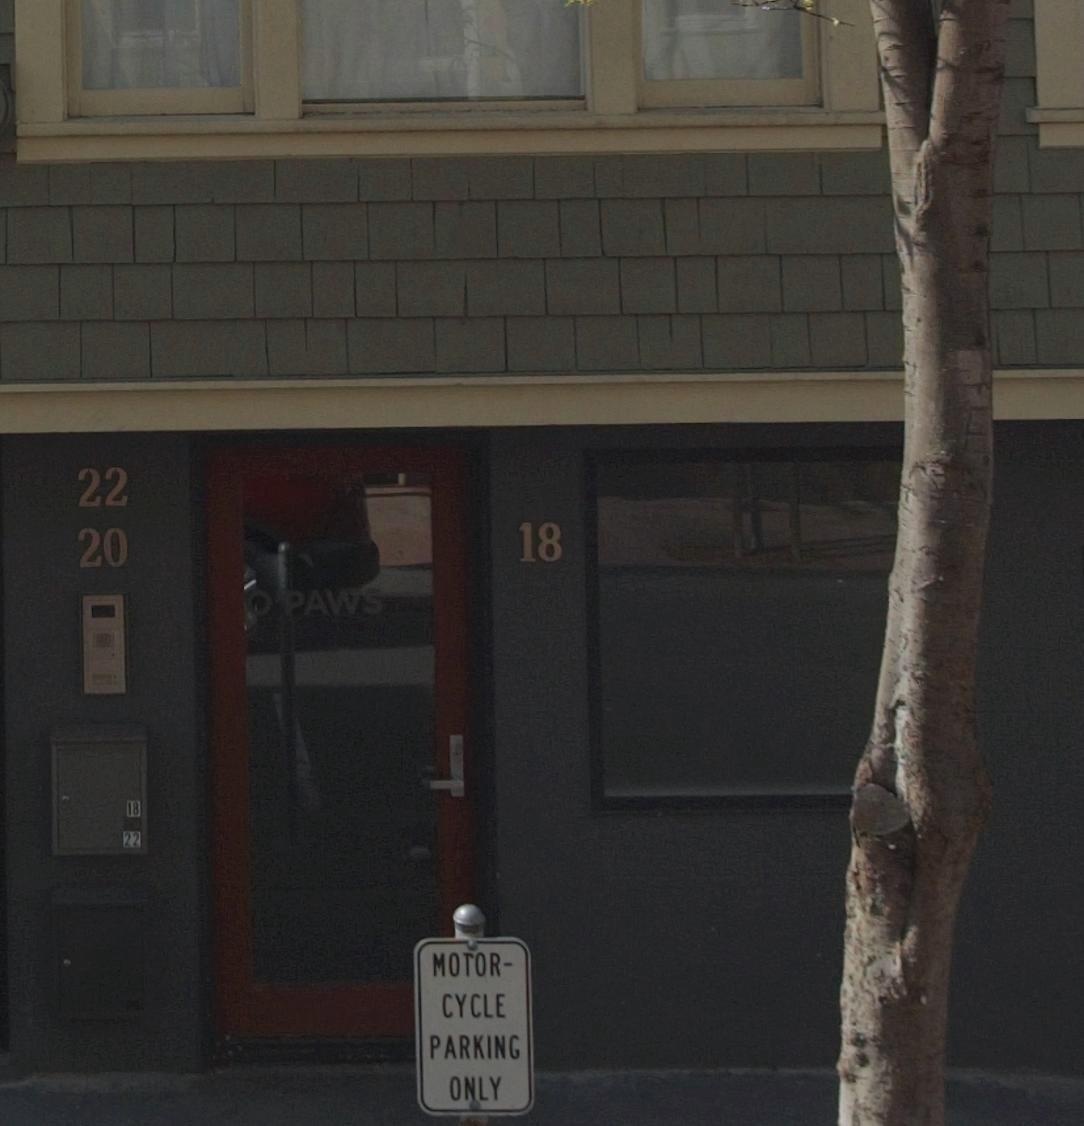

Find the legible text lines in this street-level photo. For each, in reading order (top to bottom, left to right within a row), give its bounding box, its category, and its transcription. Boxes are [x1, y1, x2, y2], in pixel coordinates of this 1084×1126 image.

[74, 459, 135, 515] StreetNumber: 22
[73, 520, 134, 573] StreetNumber: 20
[513, 517, 568, 568] StreetNumber: 18
[243, 583, 387, 622] BusinessName: O PAWS
[125, 799, 141, 817] StreetNumber: 18
[123, 831, 142, 849] StreetNumber: 22
[427, 946, 520, 983] None: MOTOR-
[439, 986, 513, 1025] None: CYCLE
[425, 1029, 528, 1064] None: PARKING